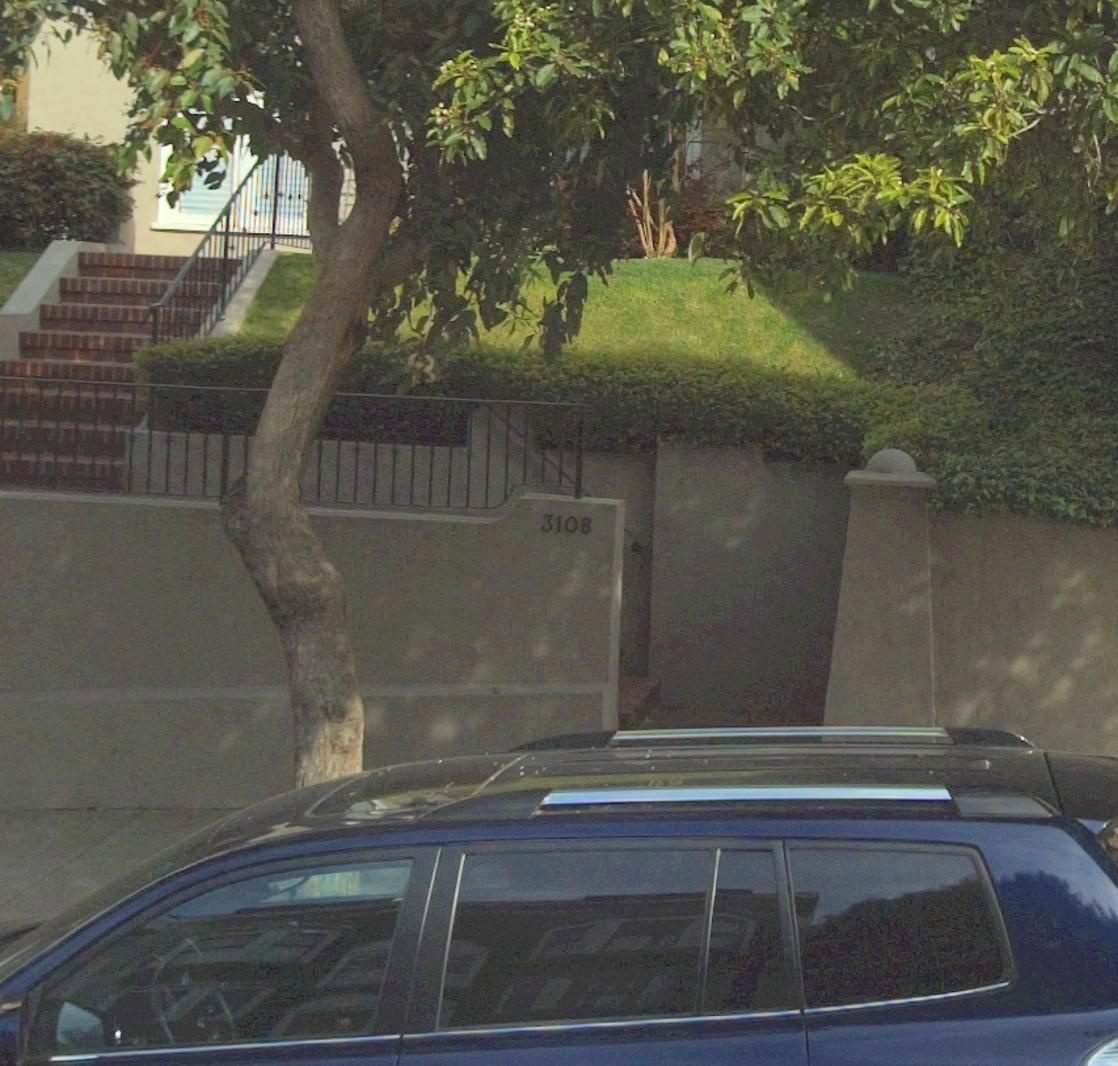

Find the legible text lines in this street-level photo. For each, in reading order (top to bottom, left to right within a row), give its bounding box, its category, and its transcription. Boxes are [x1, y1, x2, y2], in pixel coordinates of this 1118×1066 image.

[537, 511, 595, 537] StreetNumber: 3108